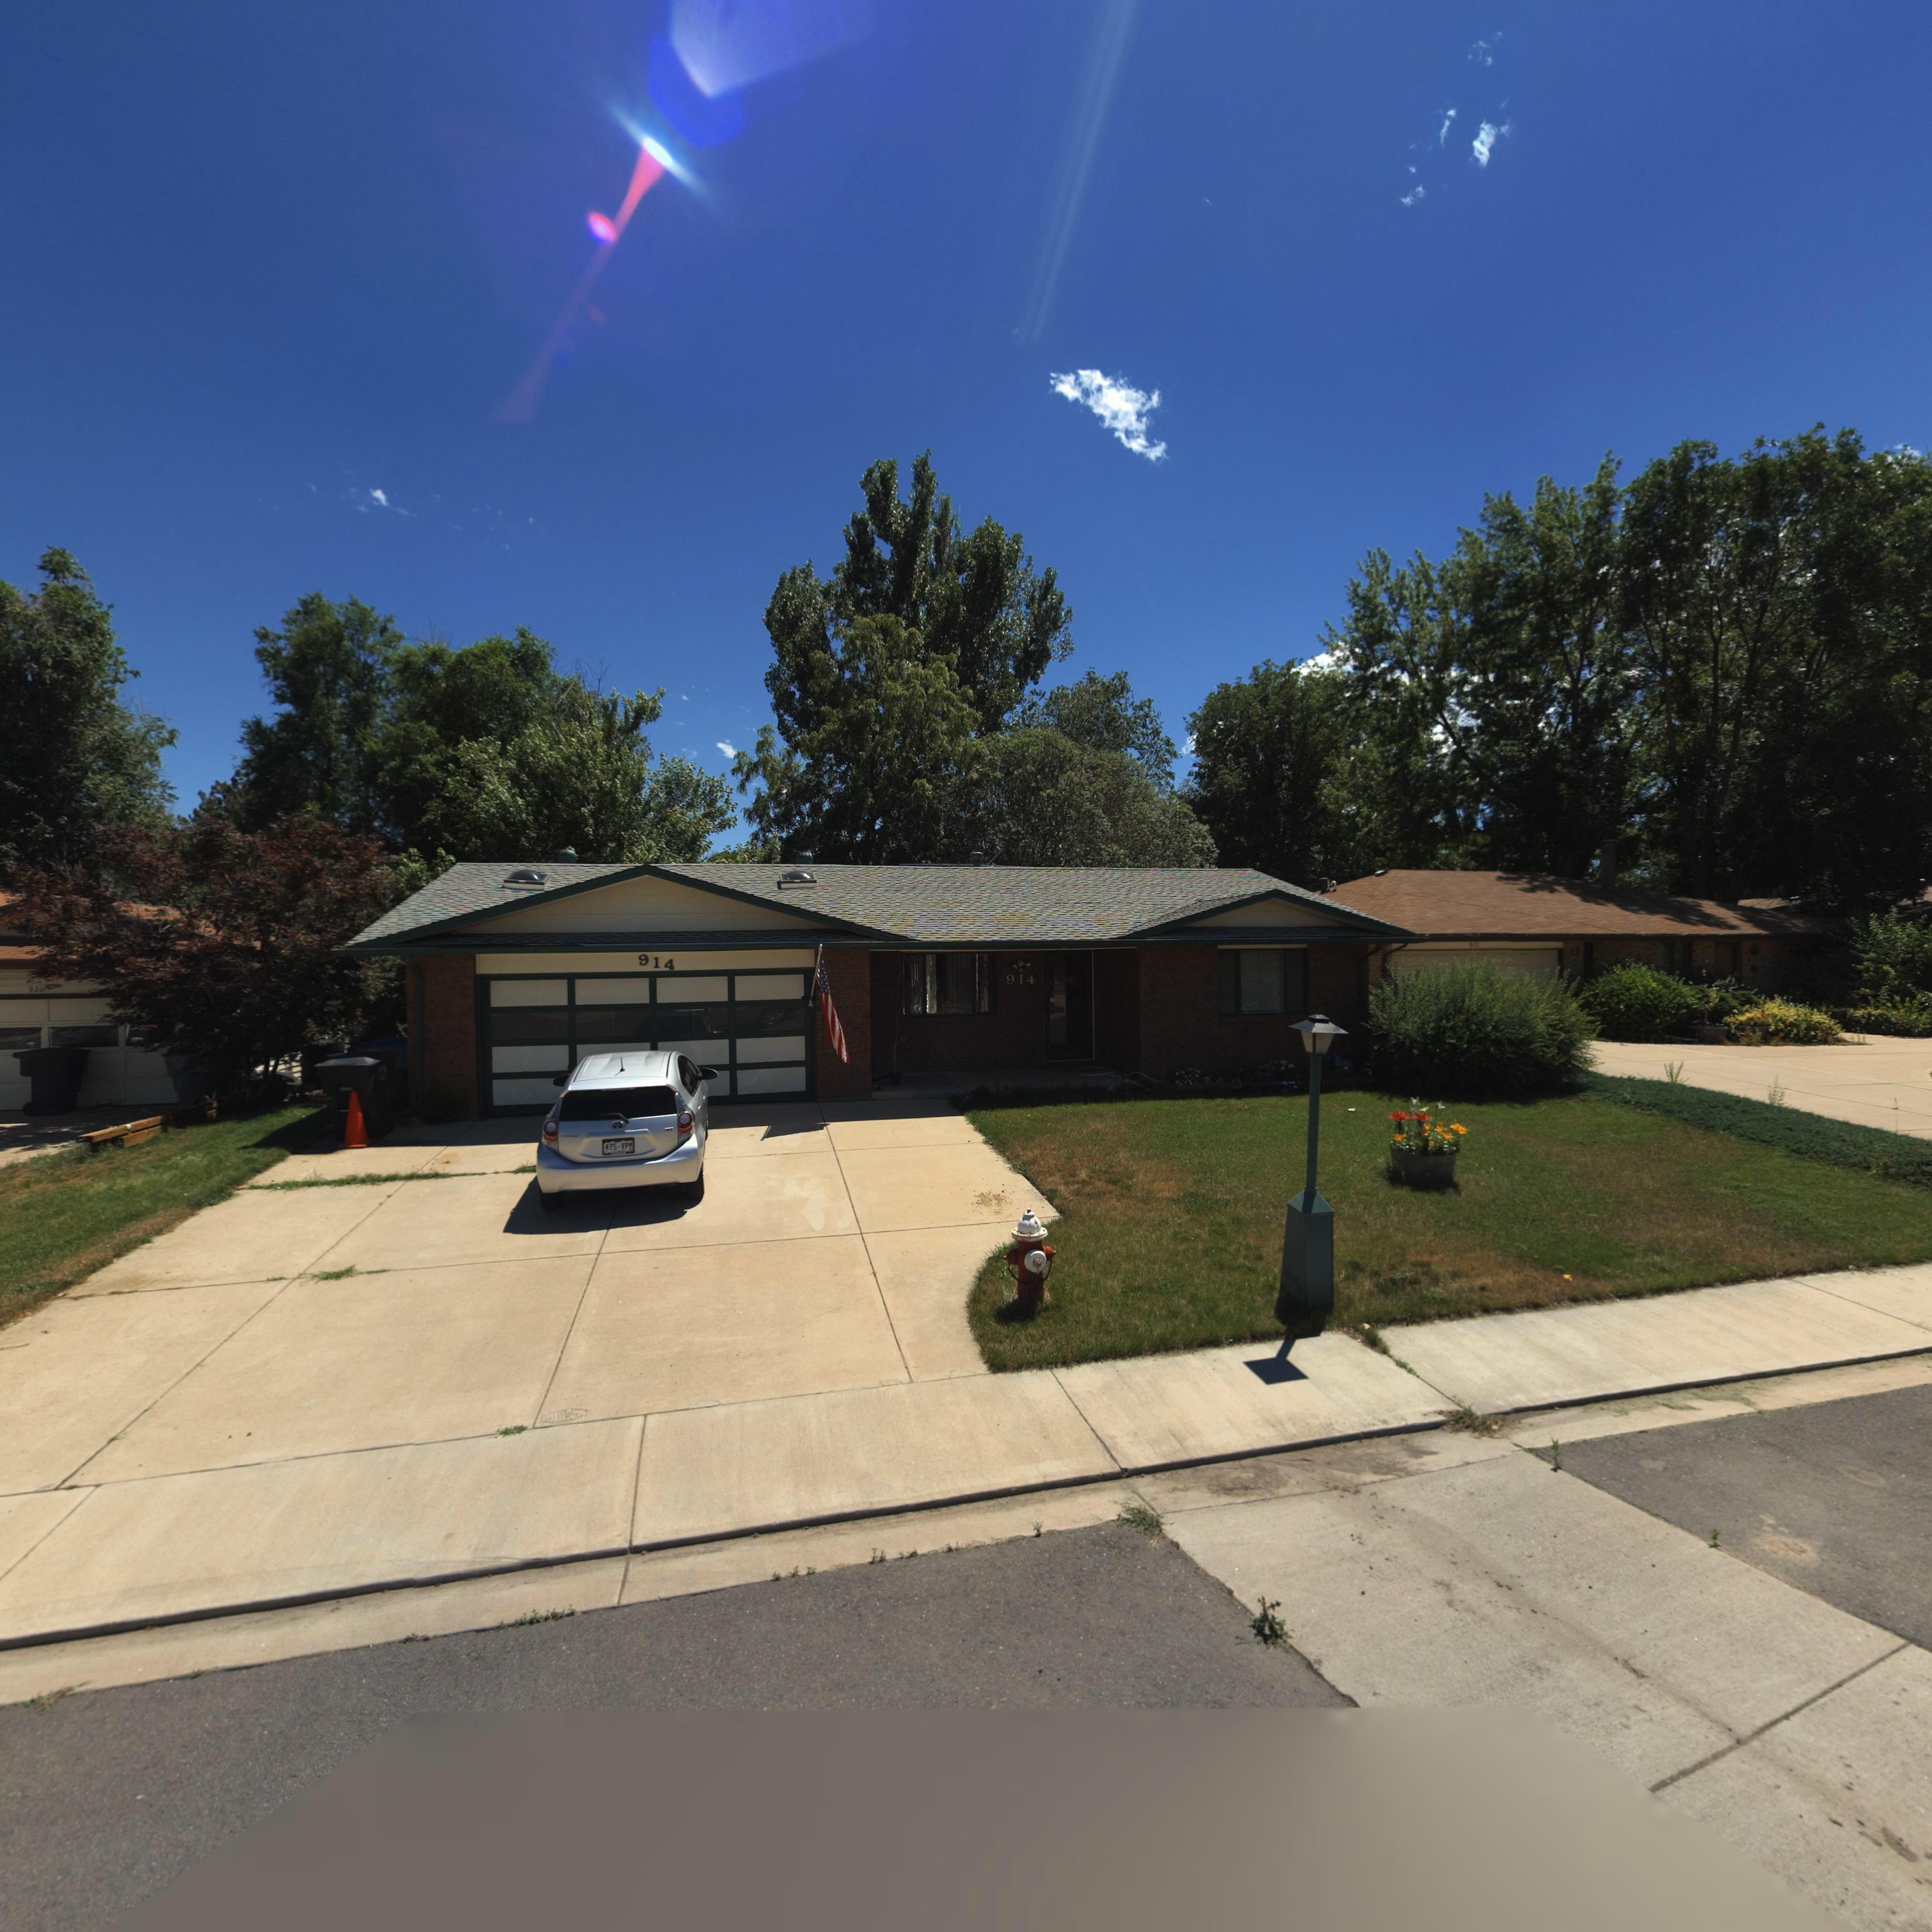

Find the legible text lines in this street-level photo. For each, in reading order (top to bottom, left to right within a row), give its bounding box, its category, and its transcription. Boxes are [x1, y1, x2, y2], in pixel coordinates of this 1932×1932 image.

[1468, 942, 1479, 948] StreetNumber: 917
[637, 953, 676, 971] StreetNumber: 914
[1006, 974, 1034, 984] StreetNumber: 914
[28, 986, 45, 993] StreetNumber: 920